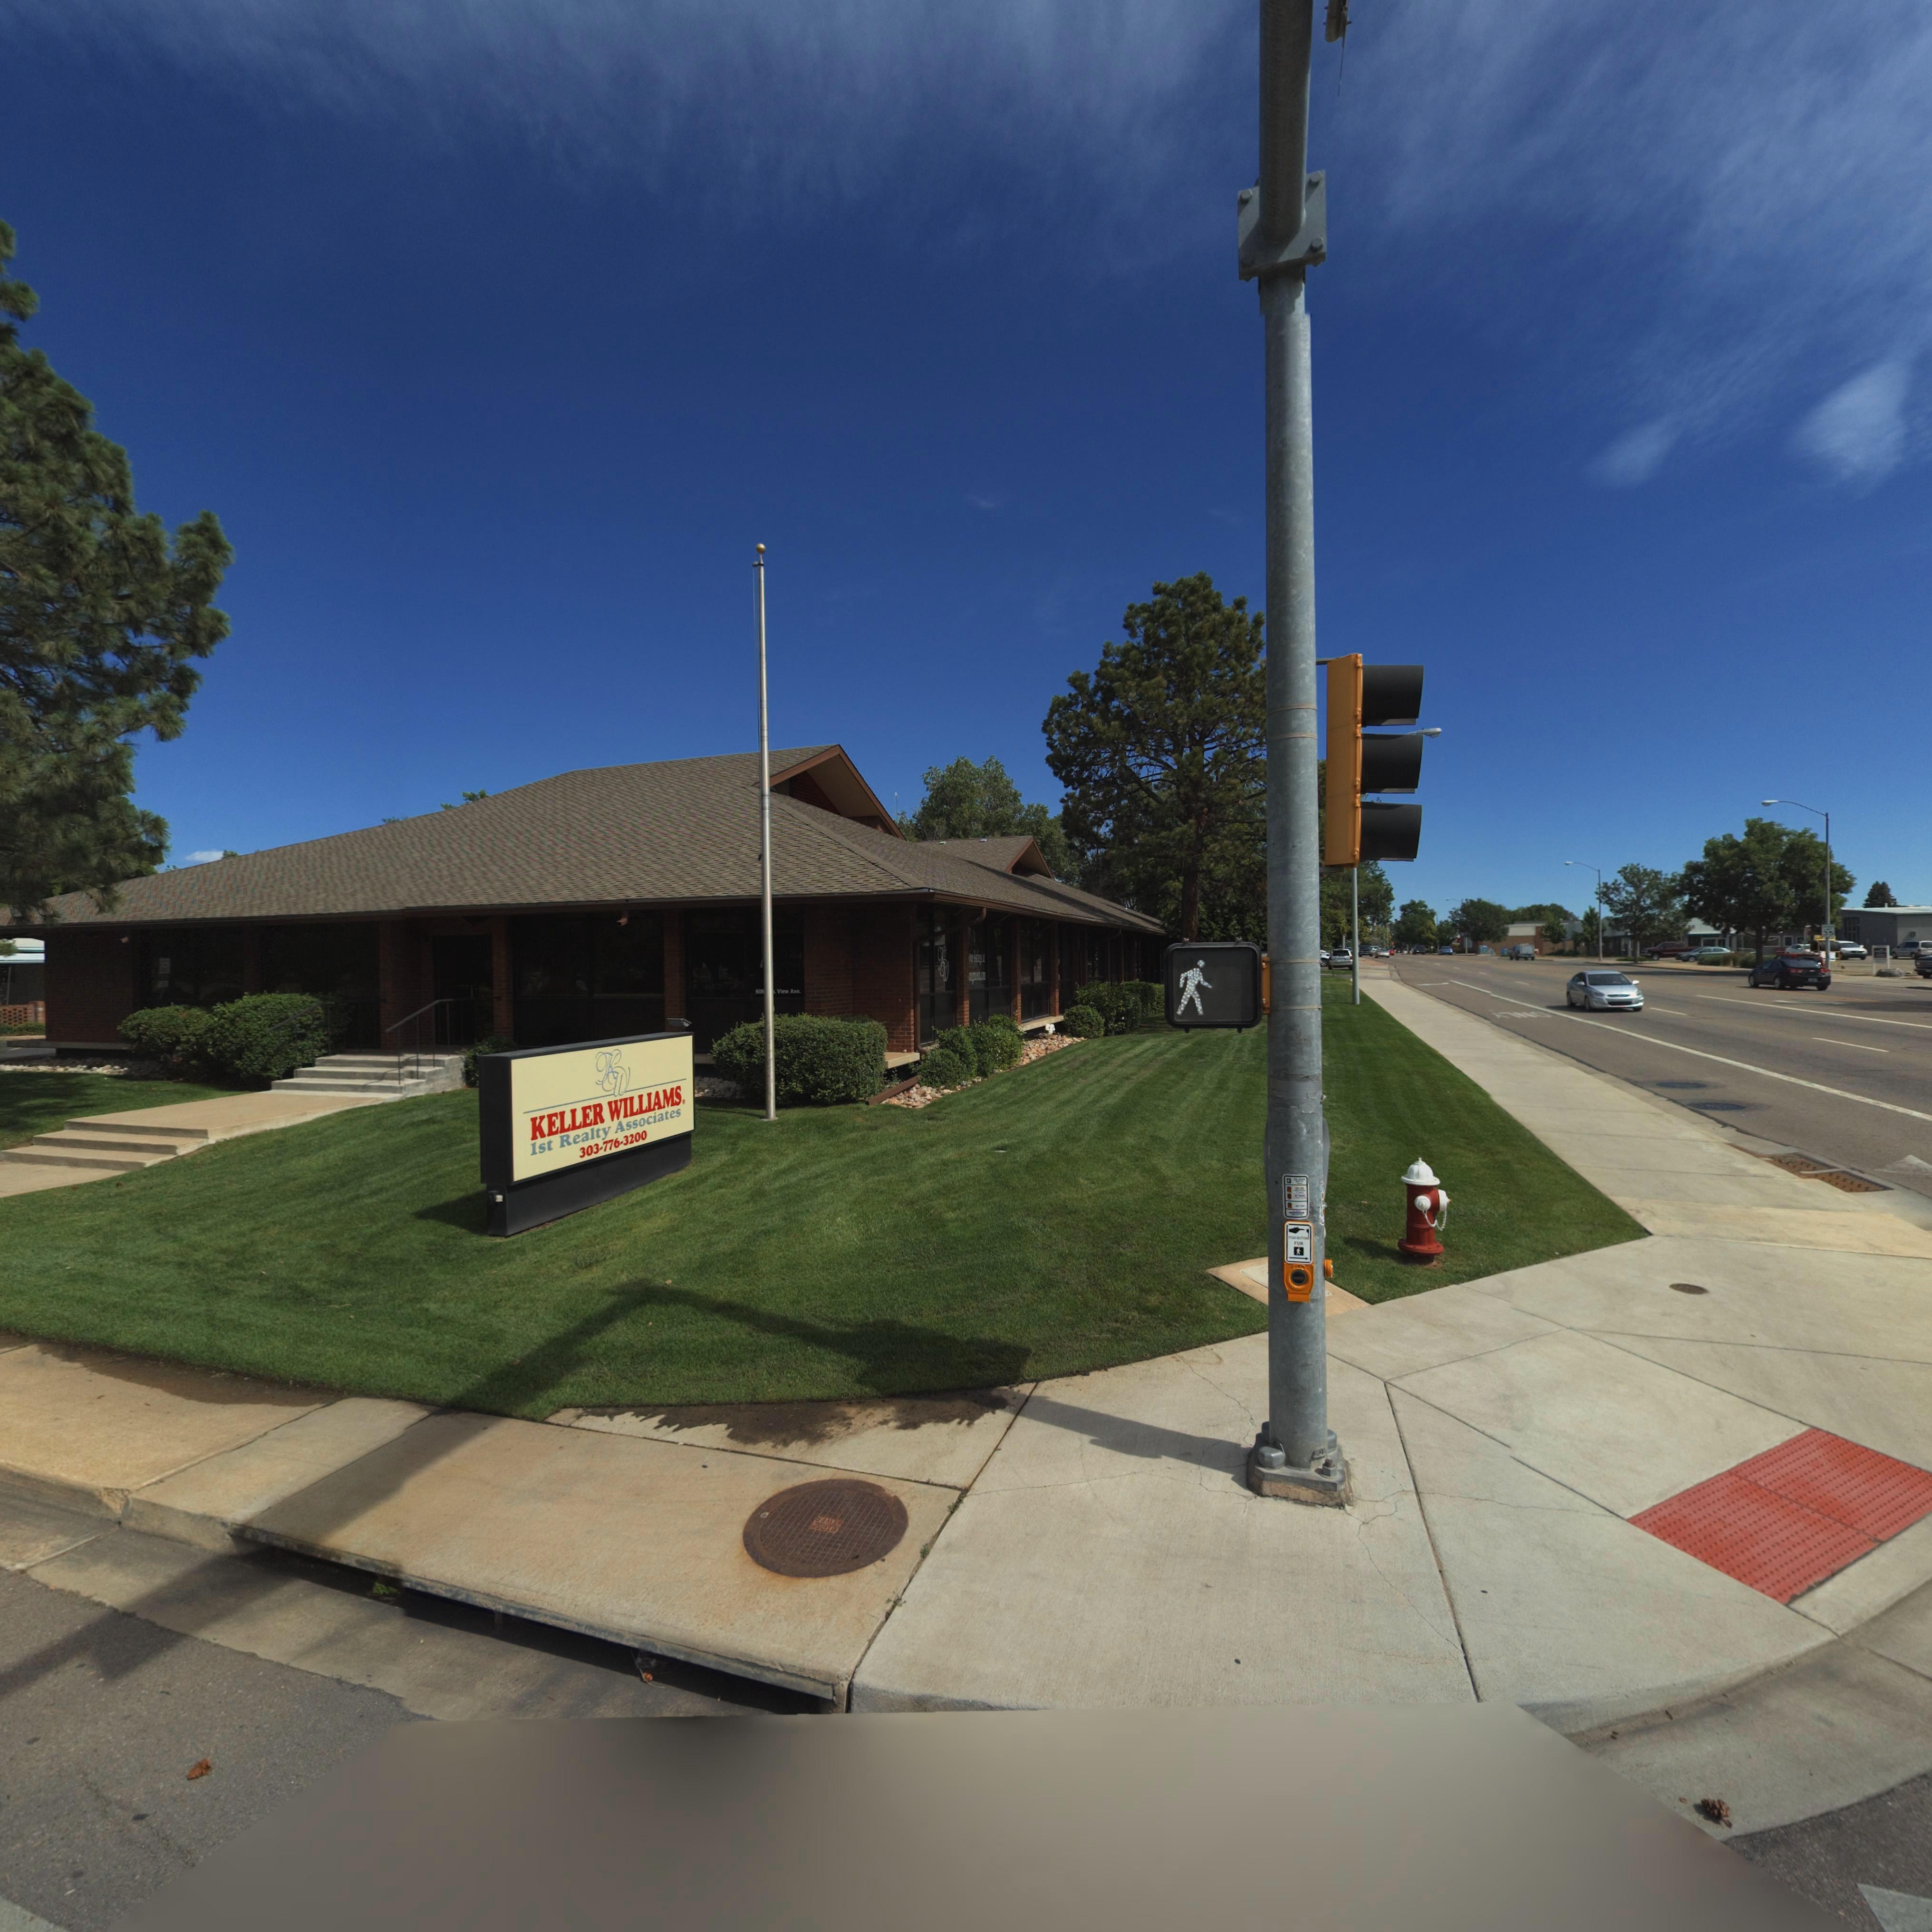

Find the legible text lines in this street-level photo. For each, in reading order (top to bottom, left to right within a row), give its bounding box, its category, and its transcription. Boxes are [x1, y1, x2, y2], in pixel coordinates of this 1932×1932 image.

[755, 988, 764, 994] StreetNumber: 606
[773, 988, 801, 994] StreetName: * V*e* A**
[530, 1108, 681, 1157] BusinessName: 1st Realty Associates
[529, 1084, 683, 1142] BusinessName: KELLER WILLIAMS